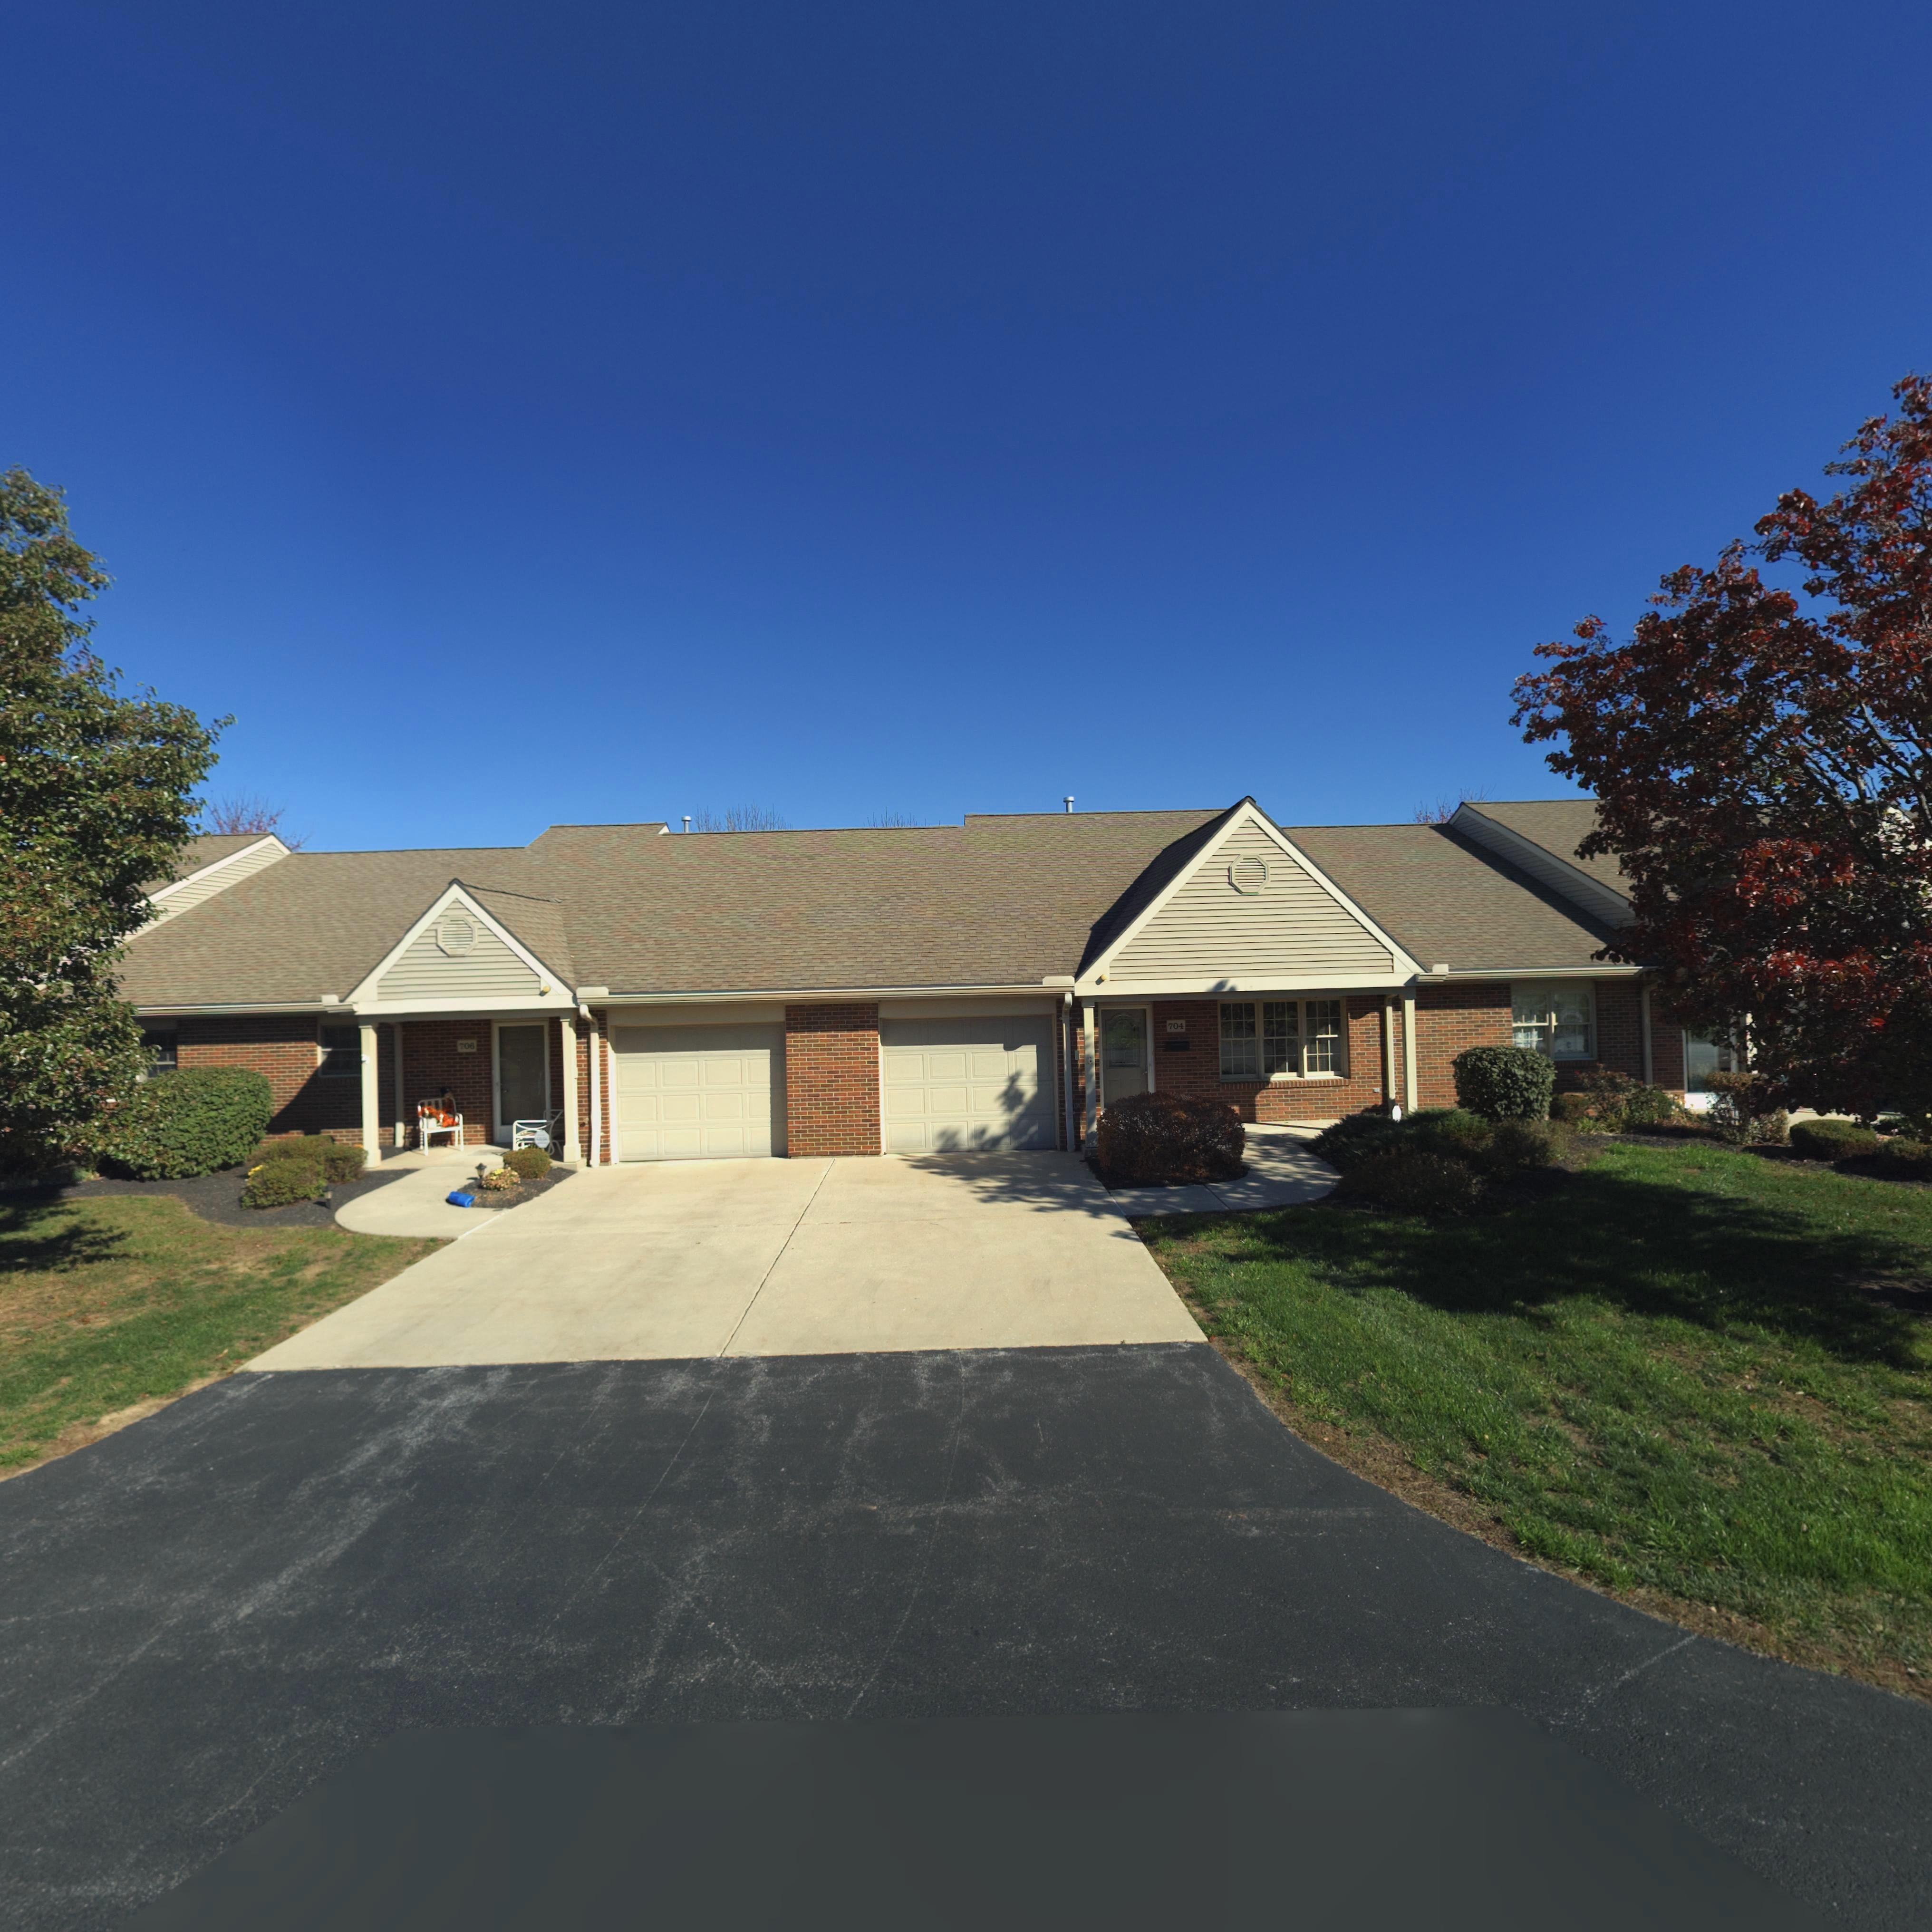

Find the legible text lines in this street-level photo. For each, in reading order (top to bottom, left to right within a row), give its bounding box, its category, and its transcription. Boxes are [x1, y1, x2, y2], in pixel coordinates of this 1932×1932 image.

[1168, 1023, 1183, 1030] StreetNumber: 704
[459, 1042, 475, 1050] StreetNumber: 706